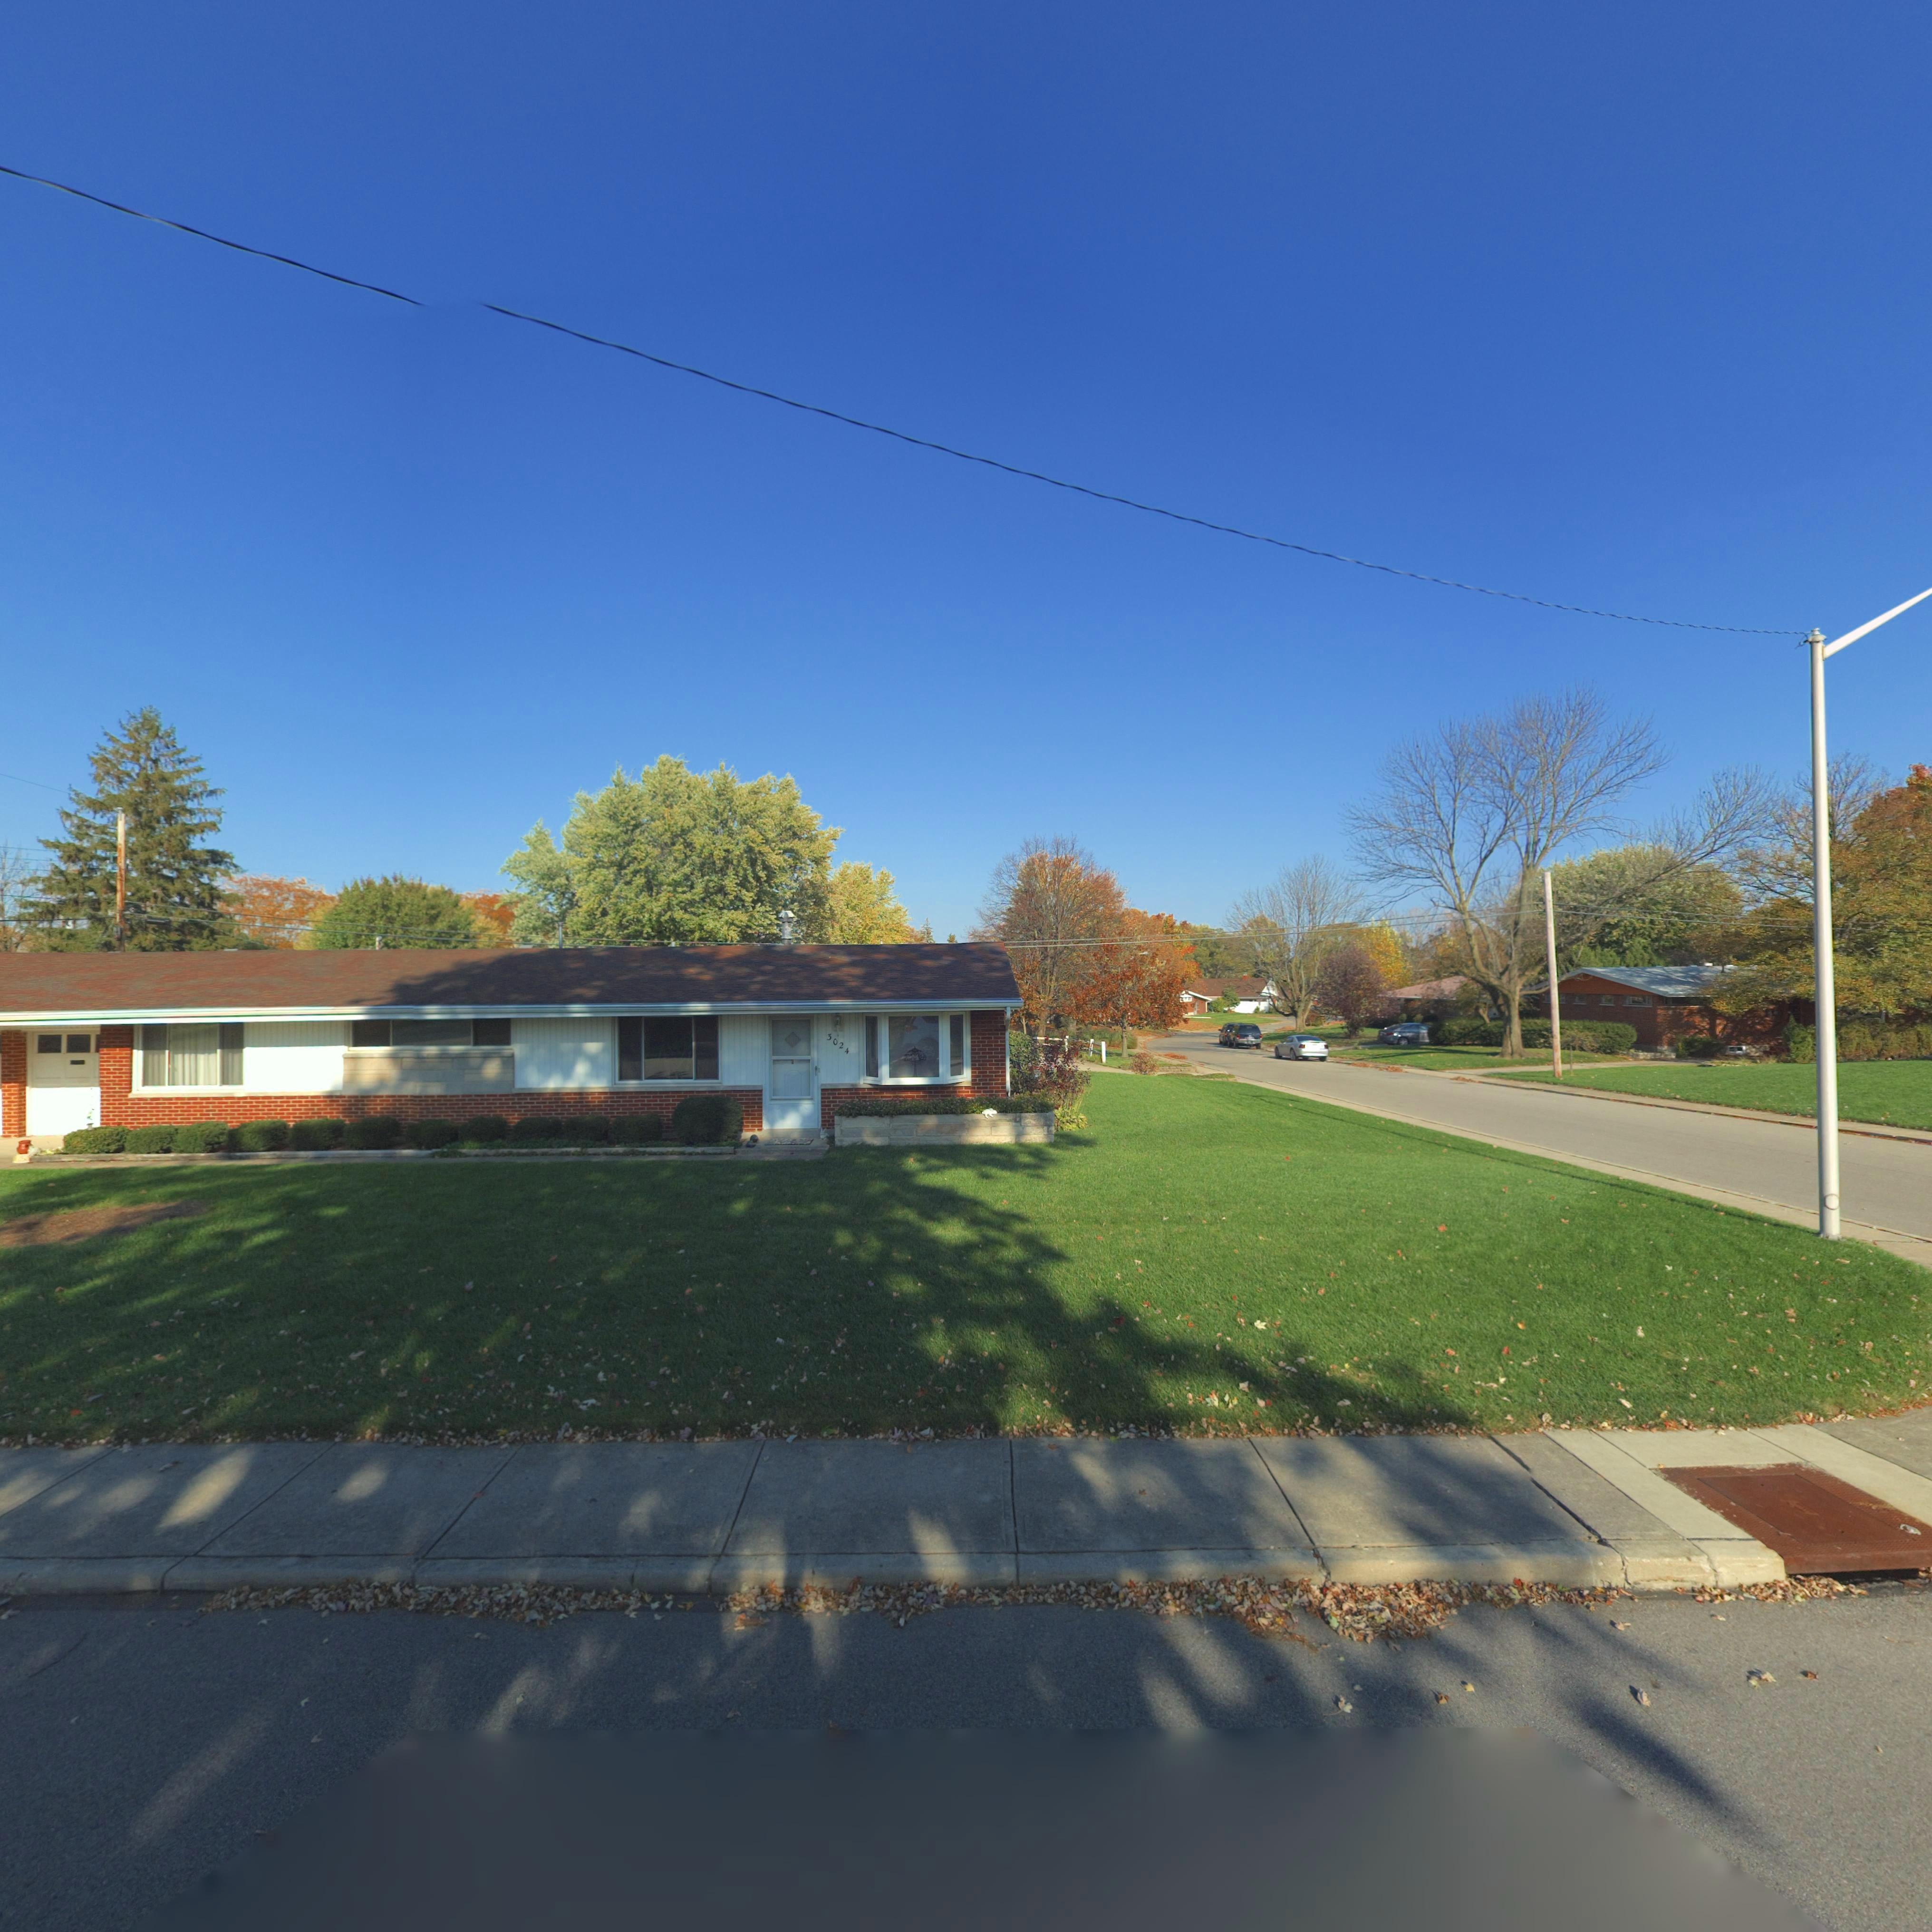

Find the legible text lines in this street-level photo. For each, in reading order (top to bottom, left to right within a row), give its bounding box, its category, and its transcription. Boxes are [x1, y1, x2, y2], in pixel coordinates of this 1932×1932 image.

[826, 1033, 850, 1055] StreetNumber: 3024